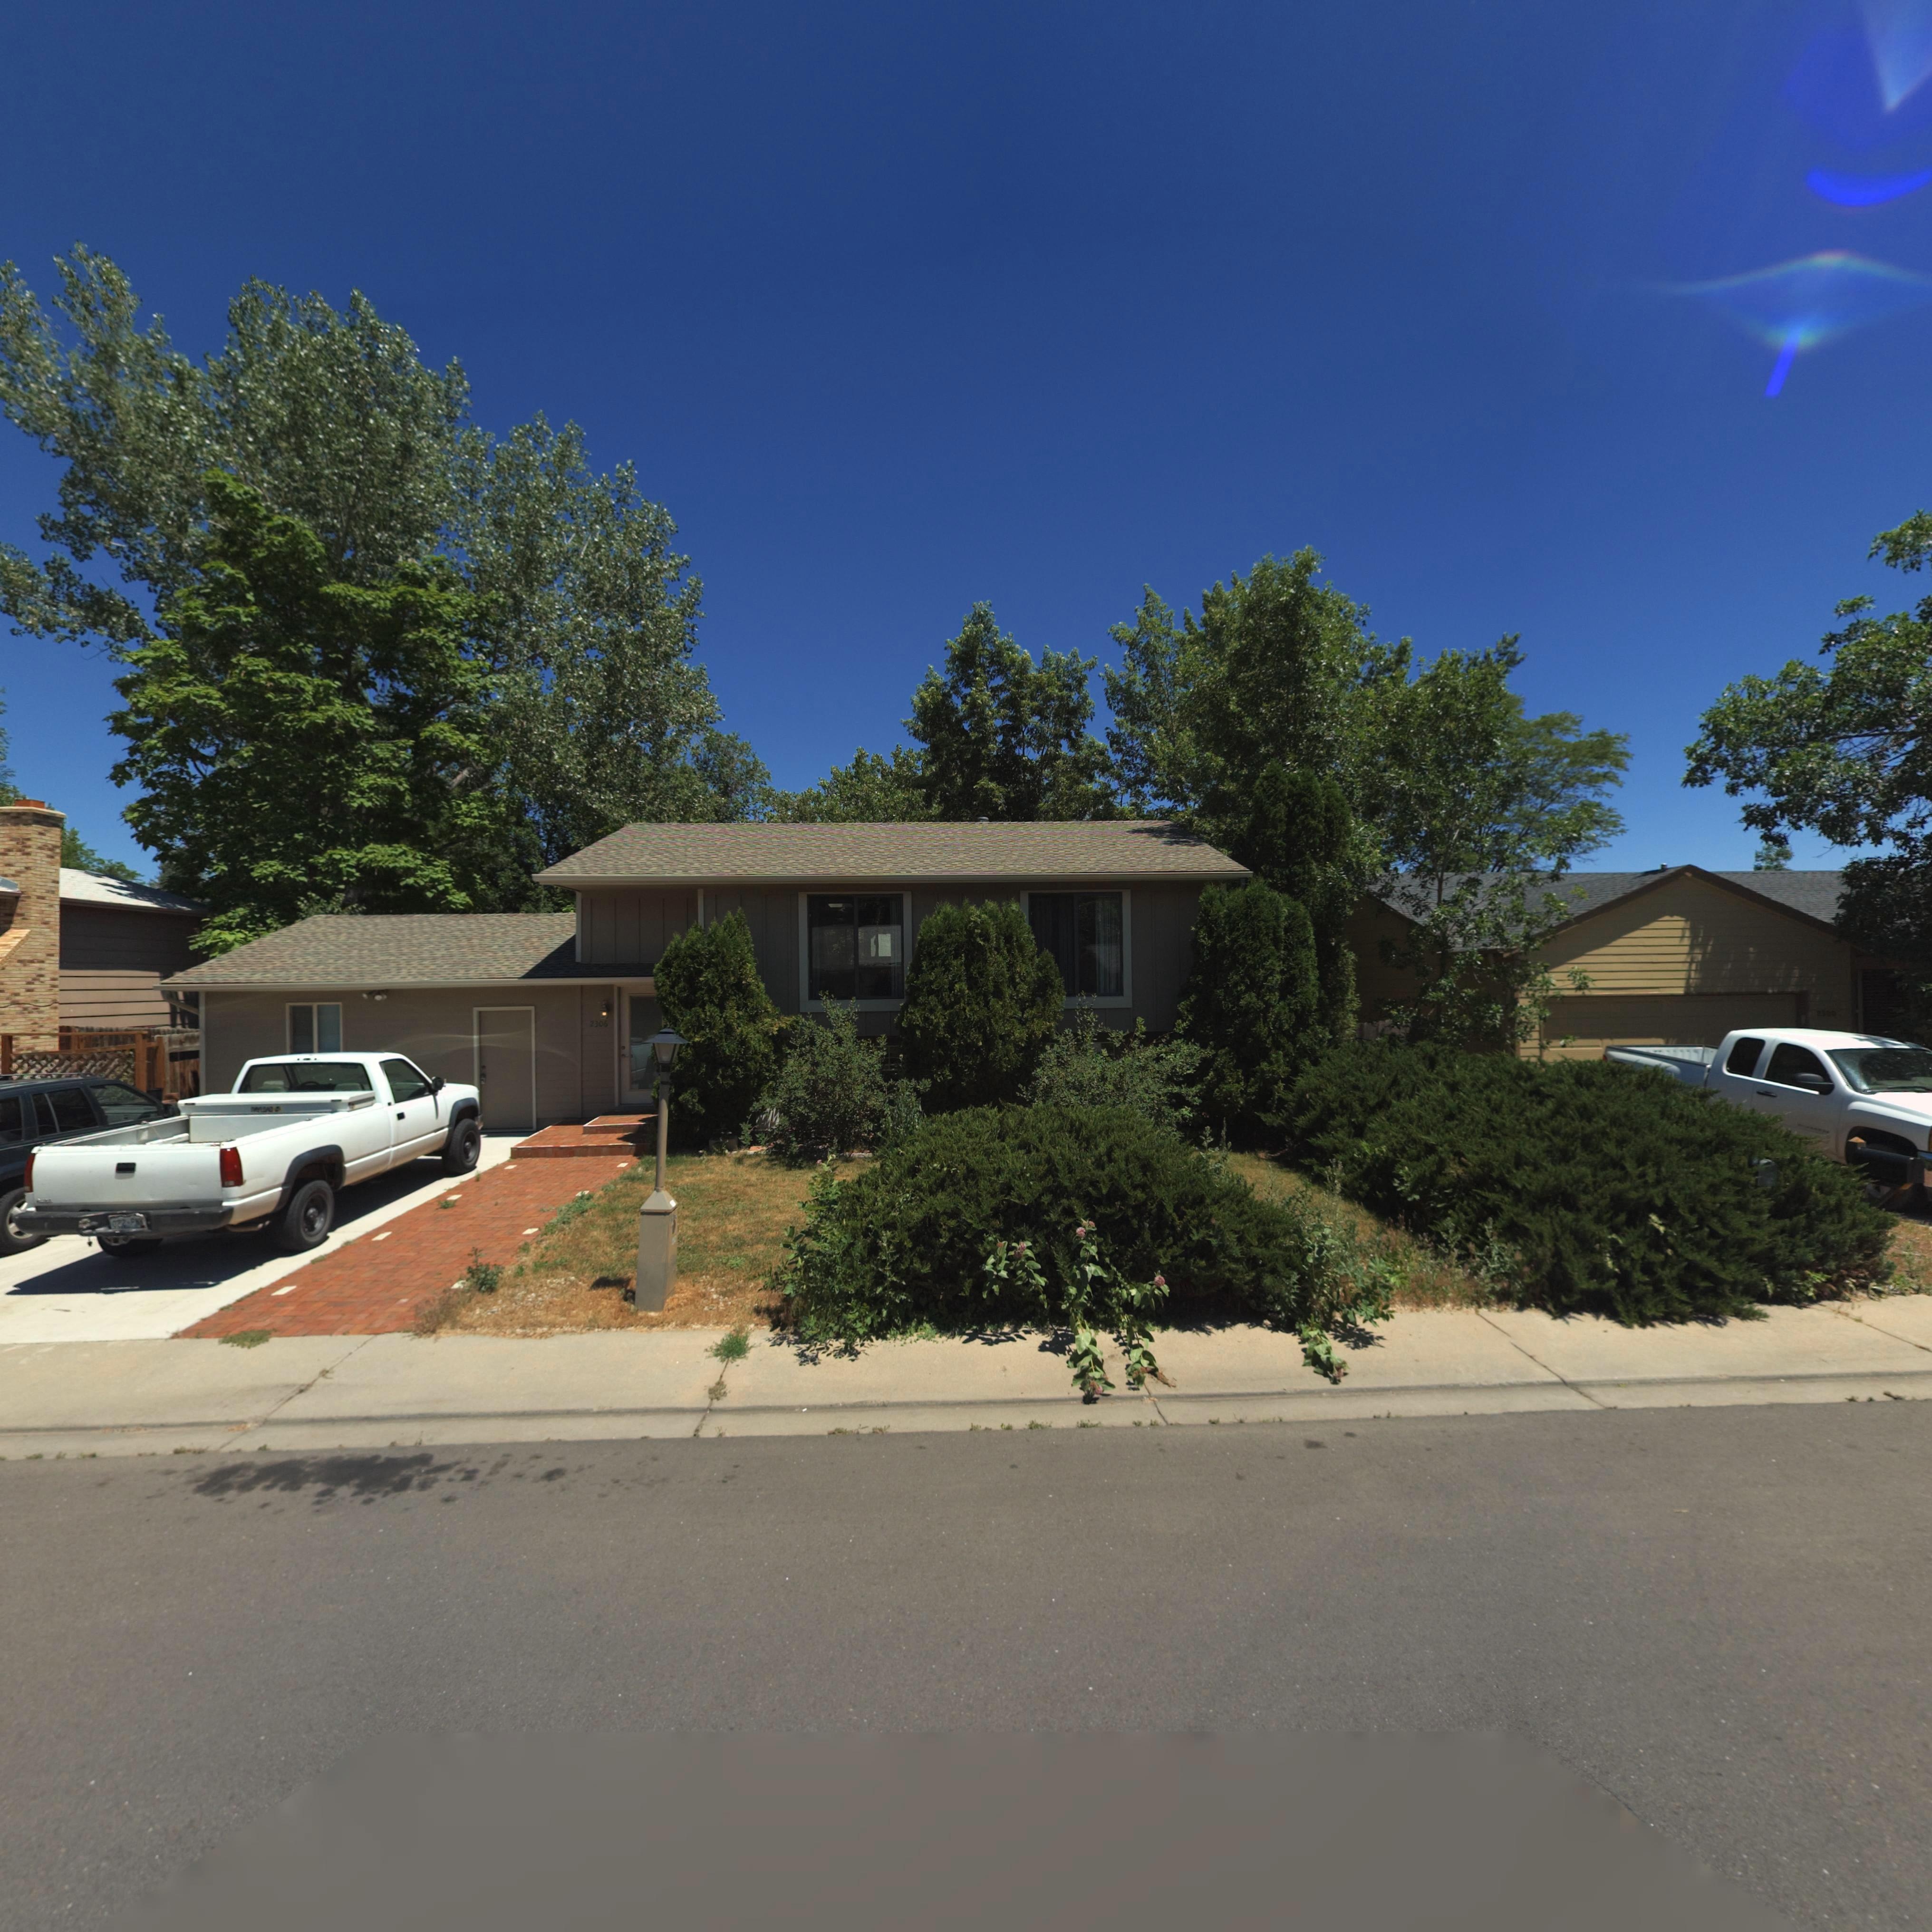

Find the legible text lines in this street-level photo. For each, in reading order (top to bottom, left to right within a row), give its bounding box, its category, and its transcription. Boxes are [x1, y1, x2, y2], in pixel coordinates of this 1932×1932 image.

[1816, 1010, 1837, 1016] StreetNumber: 23**
[589, 1020, 608, 1028] StreetNumber: 2306